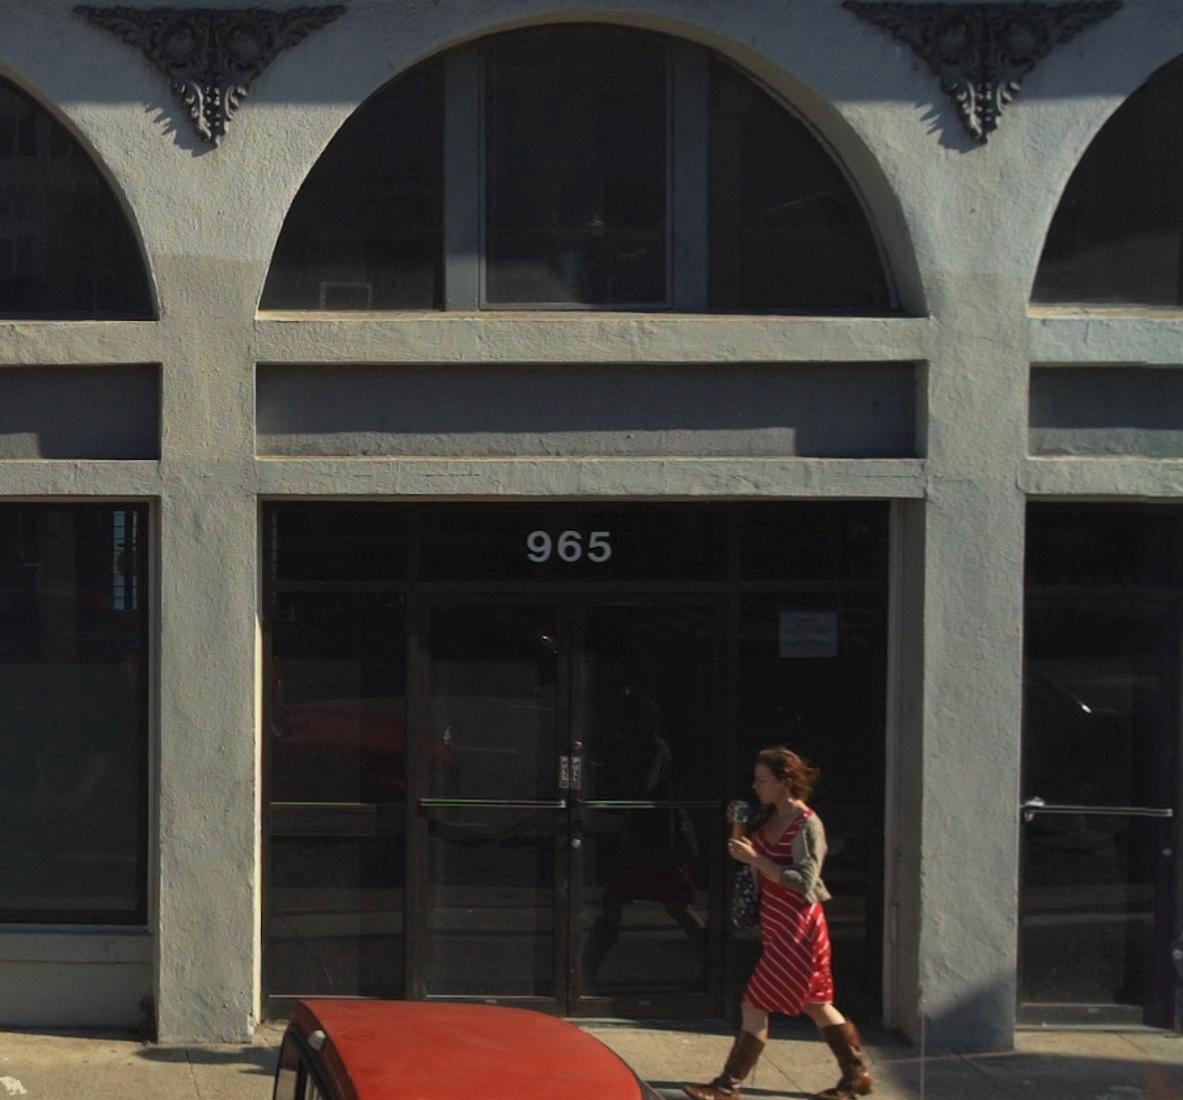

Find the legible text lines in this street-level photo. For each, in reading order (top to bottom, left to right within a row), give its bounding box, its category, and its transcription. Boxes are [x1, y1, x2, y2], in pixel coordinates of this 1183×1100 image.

[524, 529, 613, 564] StreetNumber: 965
[560, 755, 569, 781] None: PULL
[571, 756, 580, 783] None: PULL